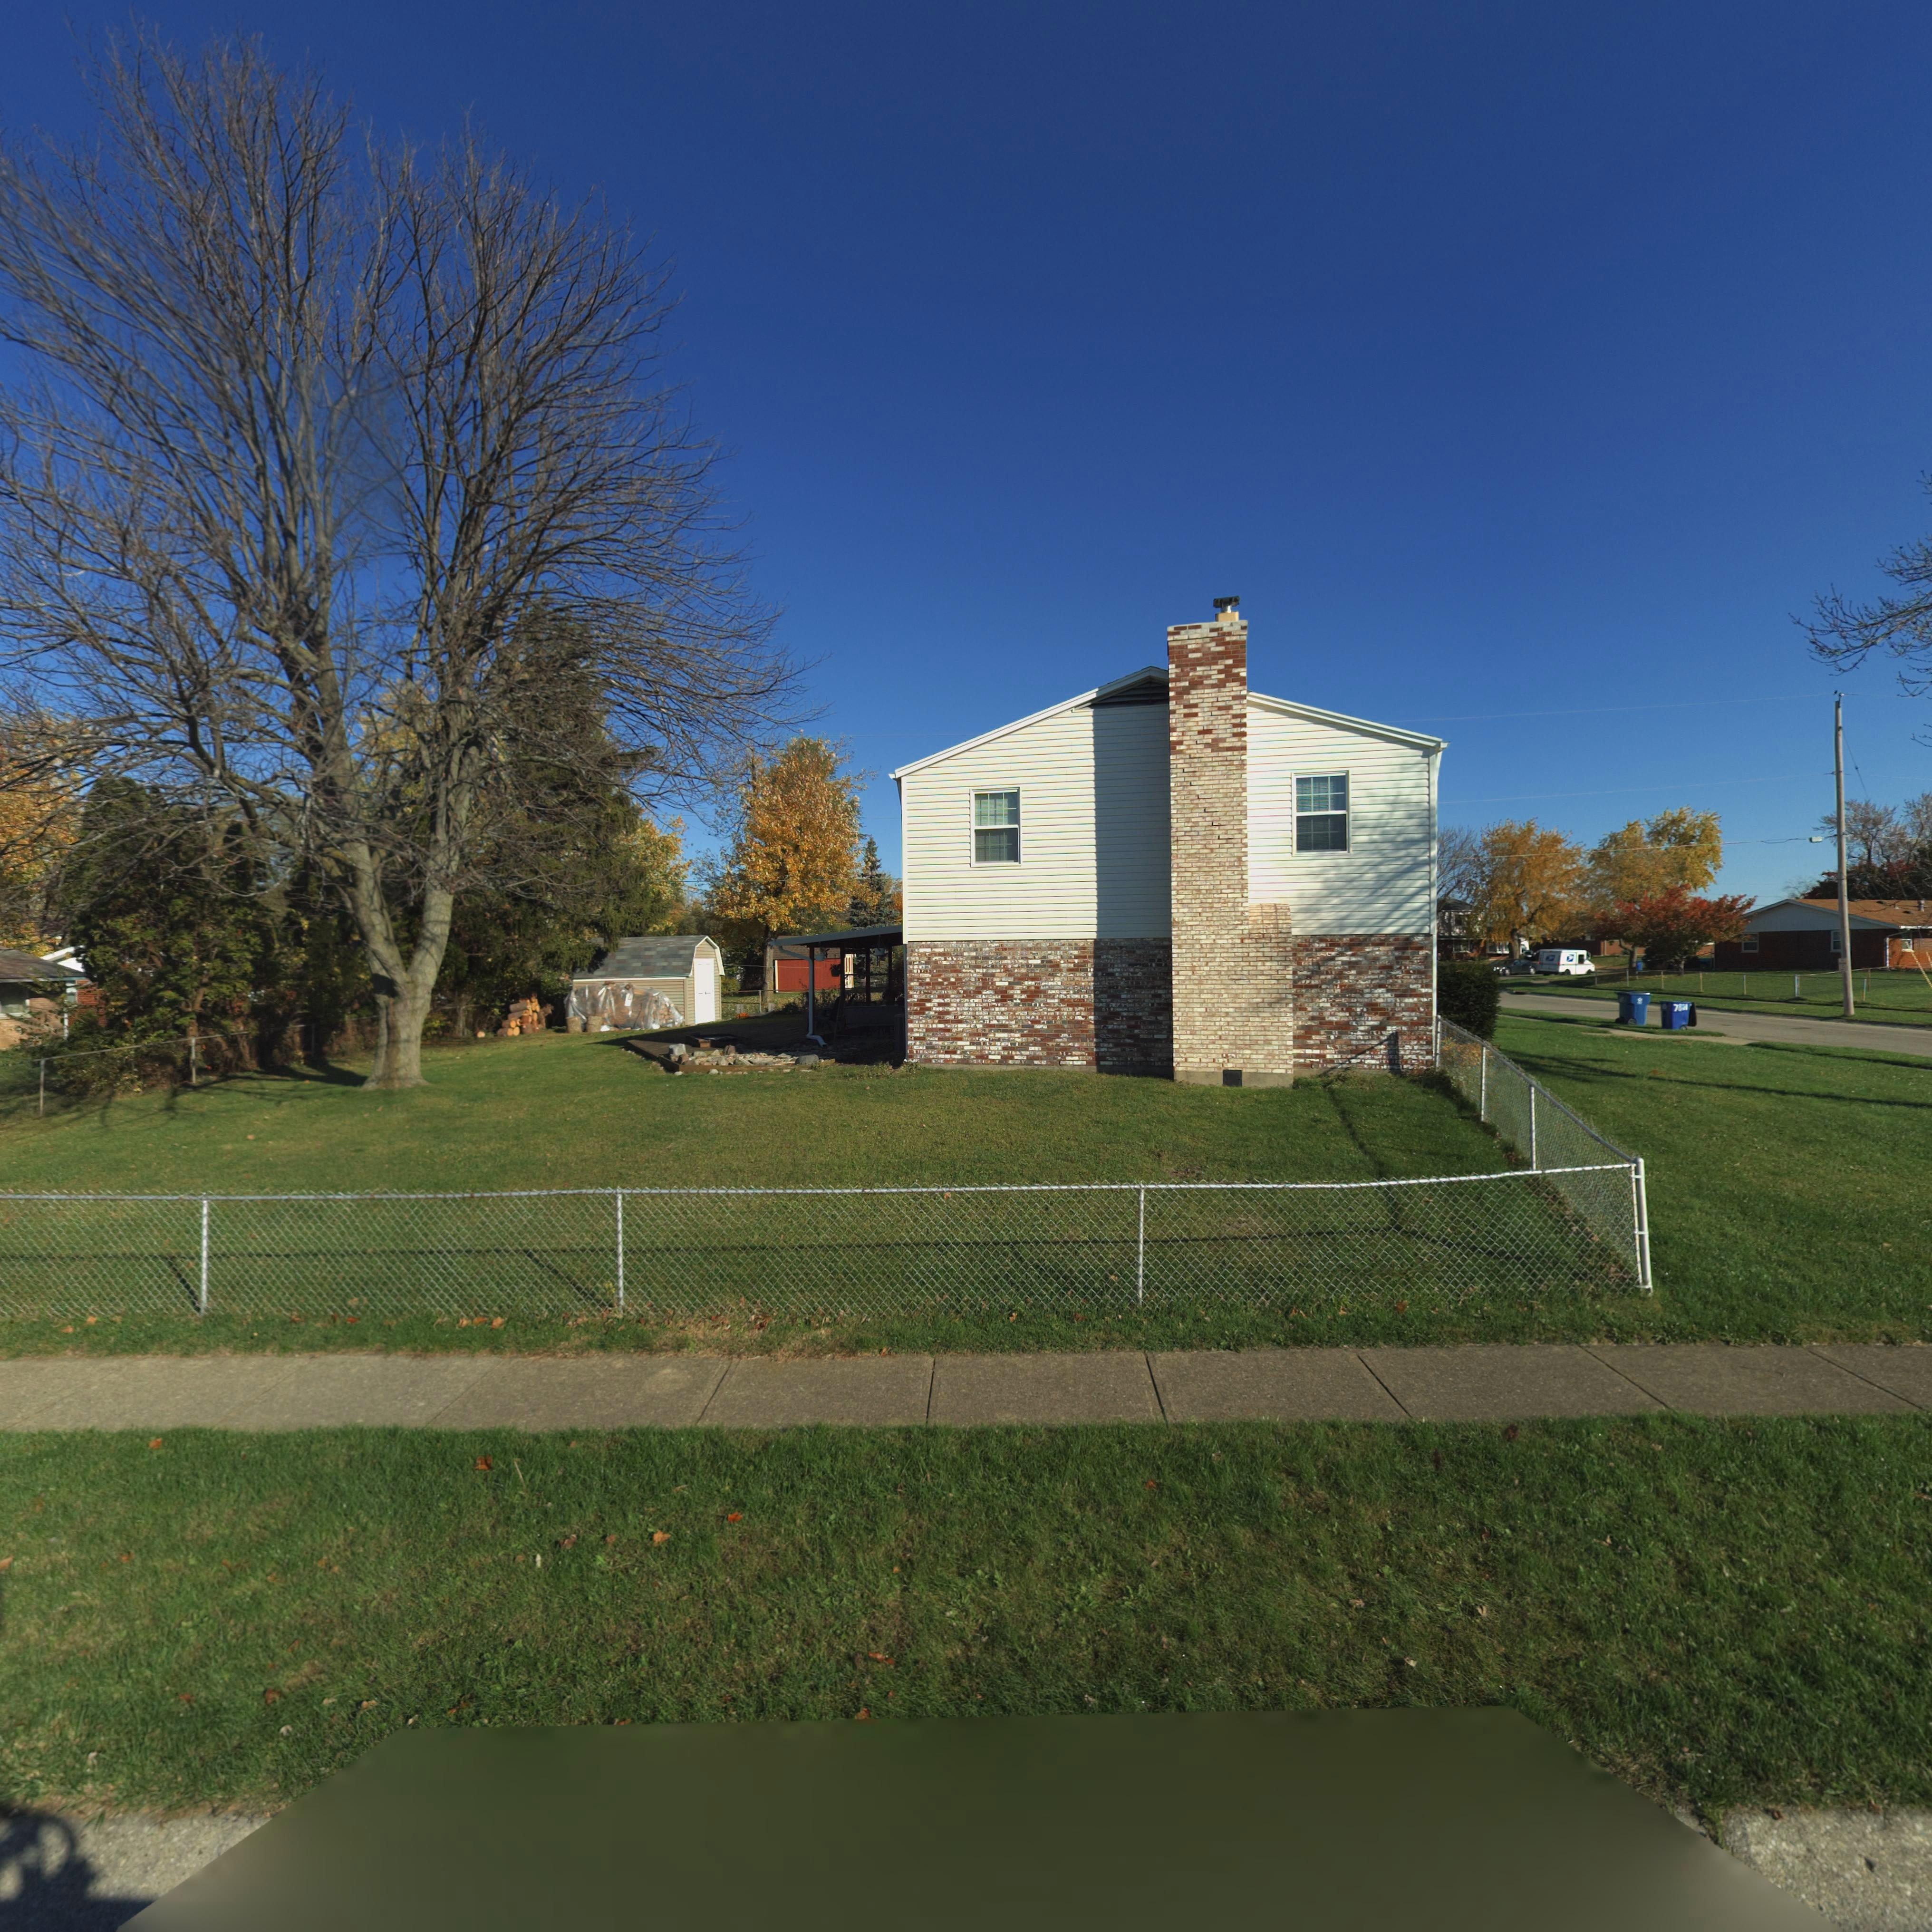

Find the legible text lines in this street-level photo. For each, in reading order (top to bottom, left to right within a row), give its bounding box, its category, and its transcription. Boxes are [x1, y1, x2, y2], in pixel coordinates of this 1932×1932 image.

[1672, 1003, 1689, 1013] StreetNumber: 7801